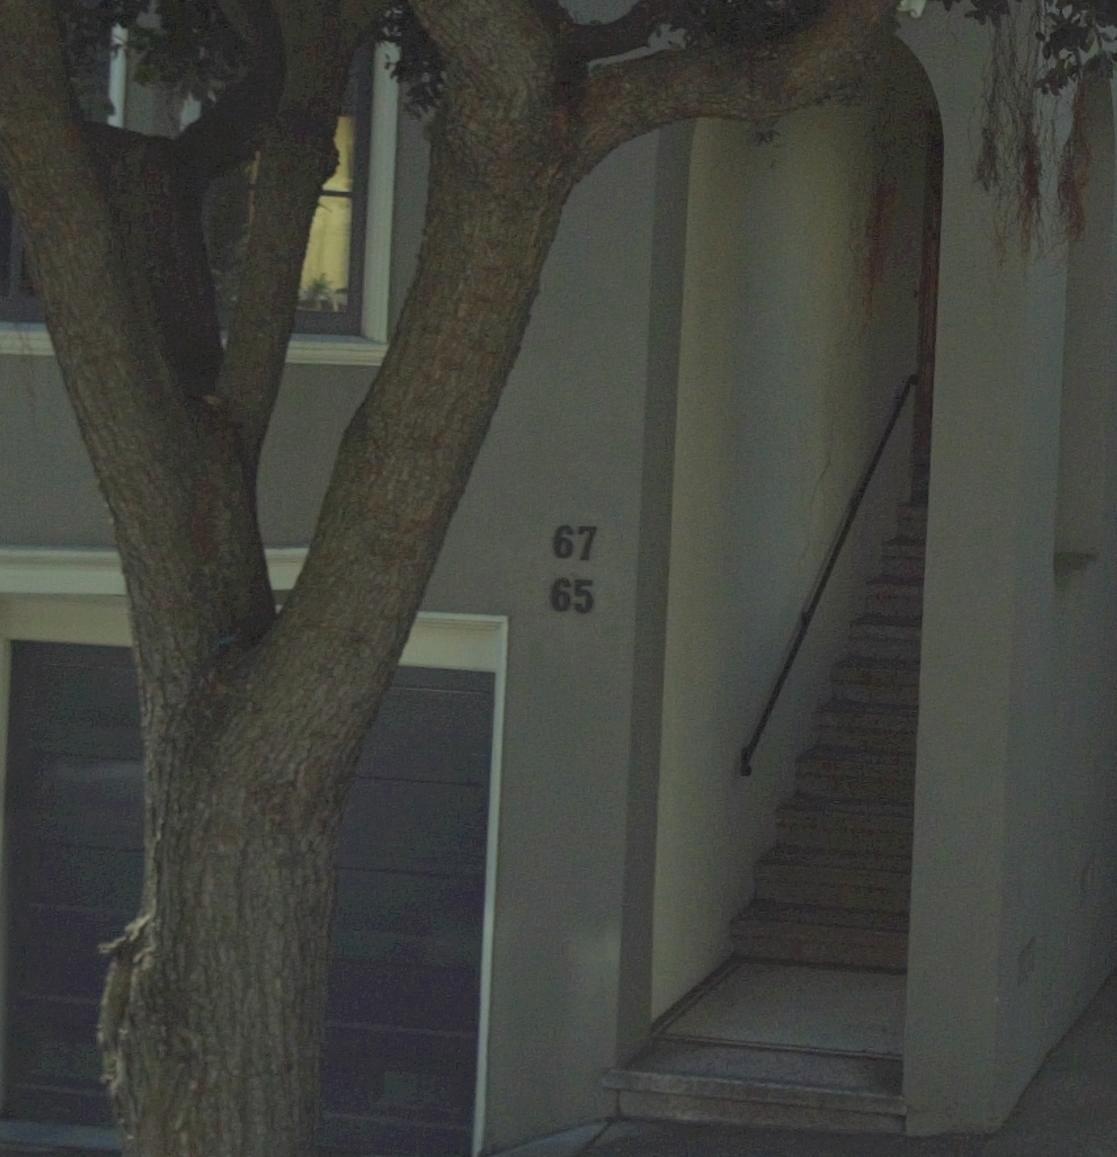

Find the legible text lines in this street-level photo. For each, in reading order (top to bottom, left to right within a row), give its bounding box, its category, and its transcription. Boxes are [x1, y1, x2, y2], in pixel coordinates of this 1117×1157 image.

[550, 523, 599, 562] StreetNumber: 67
[548, 574, 594, 614] StreetNumber: 65